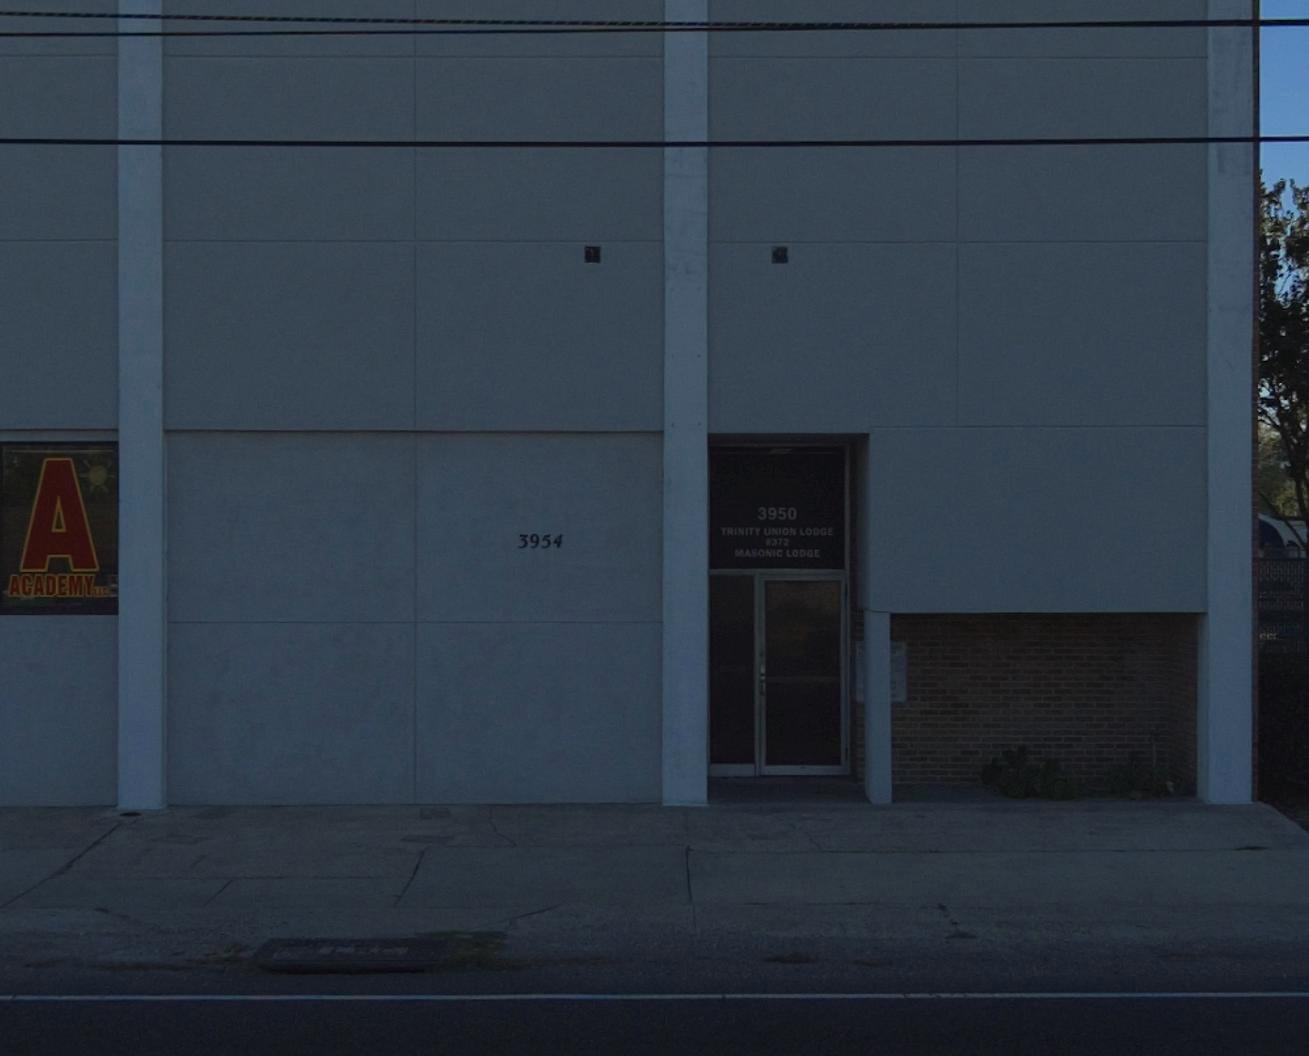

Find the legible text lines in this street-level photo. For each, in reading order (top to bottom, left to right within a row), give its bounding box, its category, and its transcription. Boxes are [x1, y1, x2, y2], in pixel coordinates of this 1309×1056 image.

[8, 452, 109, 576] BusinessName: A
[754, 504, 799, 523] StreetNumber: 3950
[715, 524, 836, 537] BusinessName: TRINITY UNION LODGE
[514, 530, 566, 552] StreetNumber: 3954
[762, 536, 791, 549] SecondaryUnitDesignator: *372
[731, 546, 823, 561] None: MASONIC LODGE
[5, 571, 111, 601] BusinessName: ACADEMY LLC